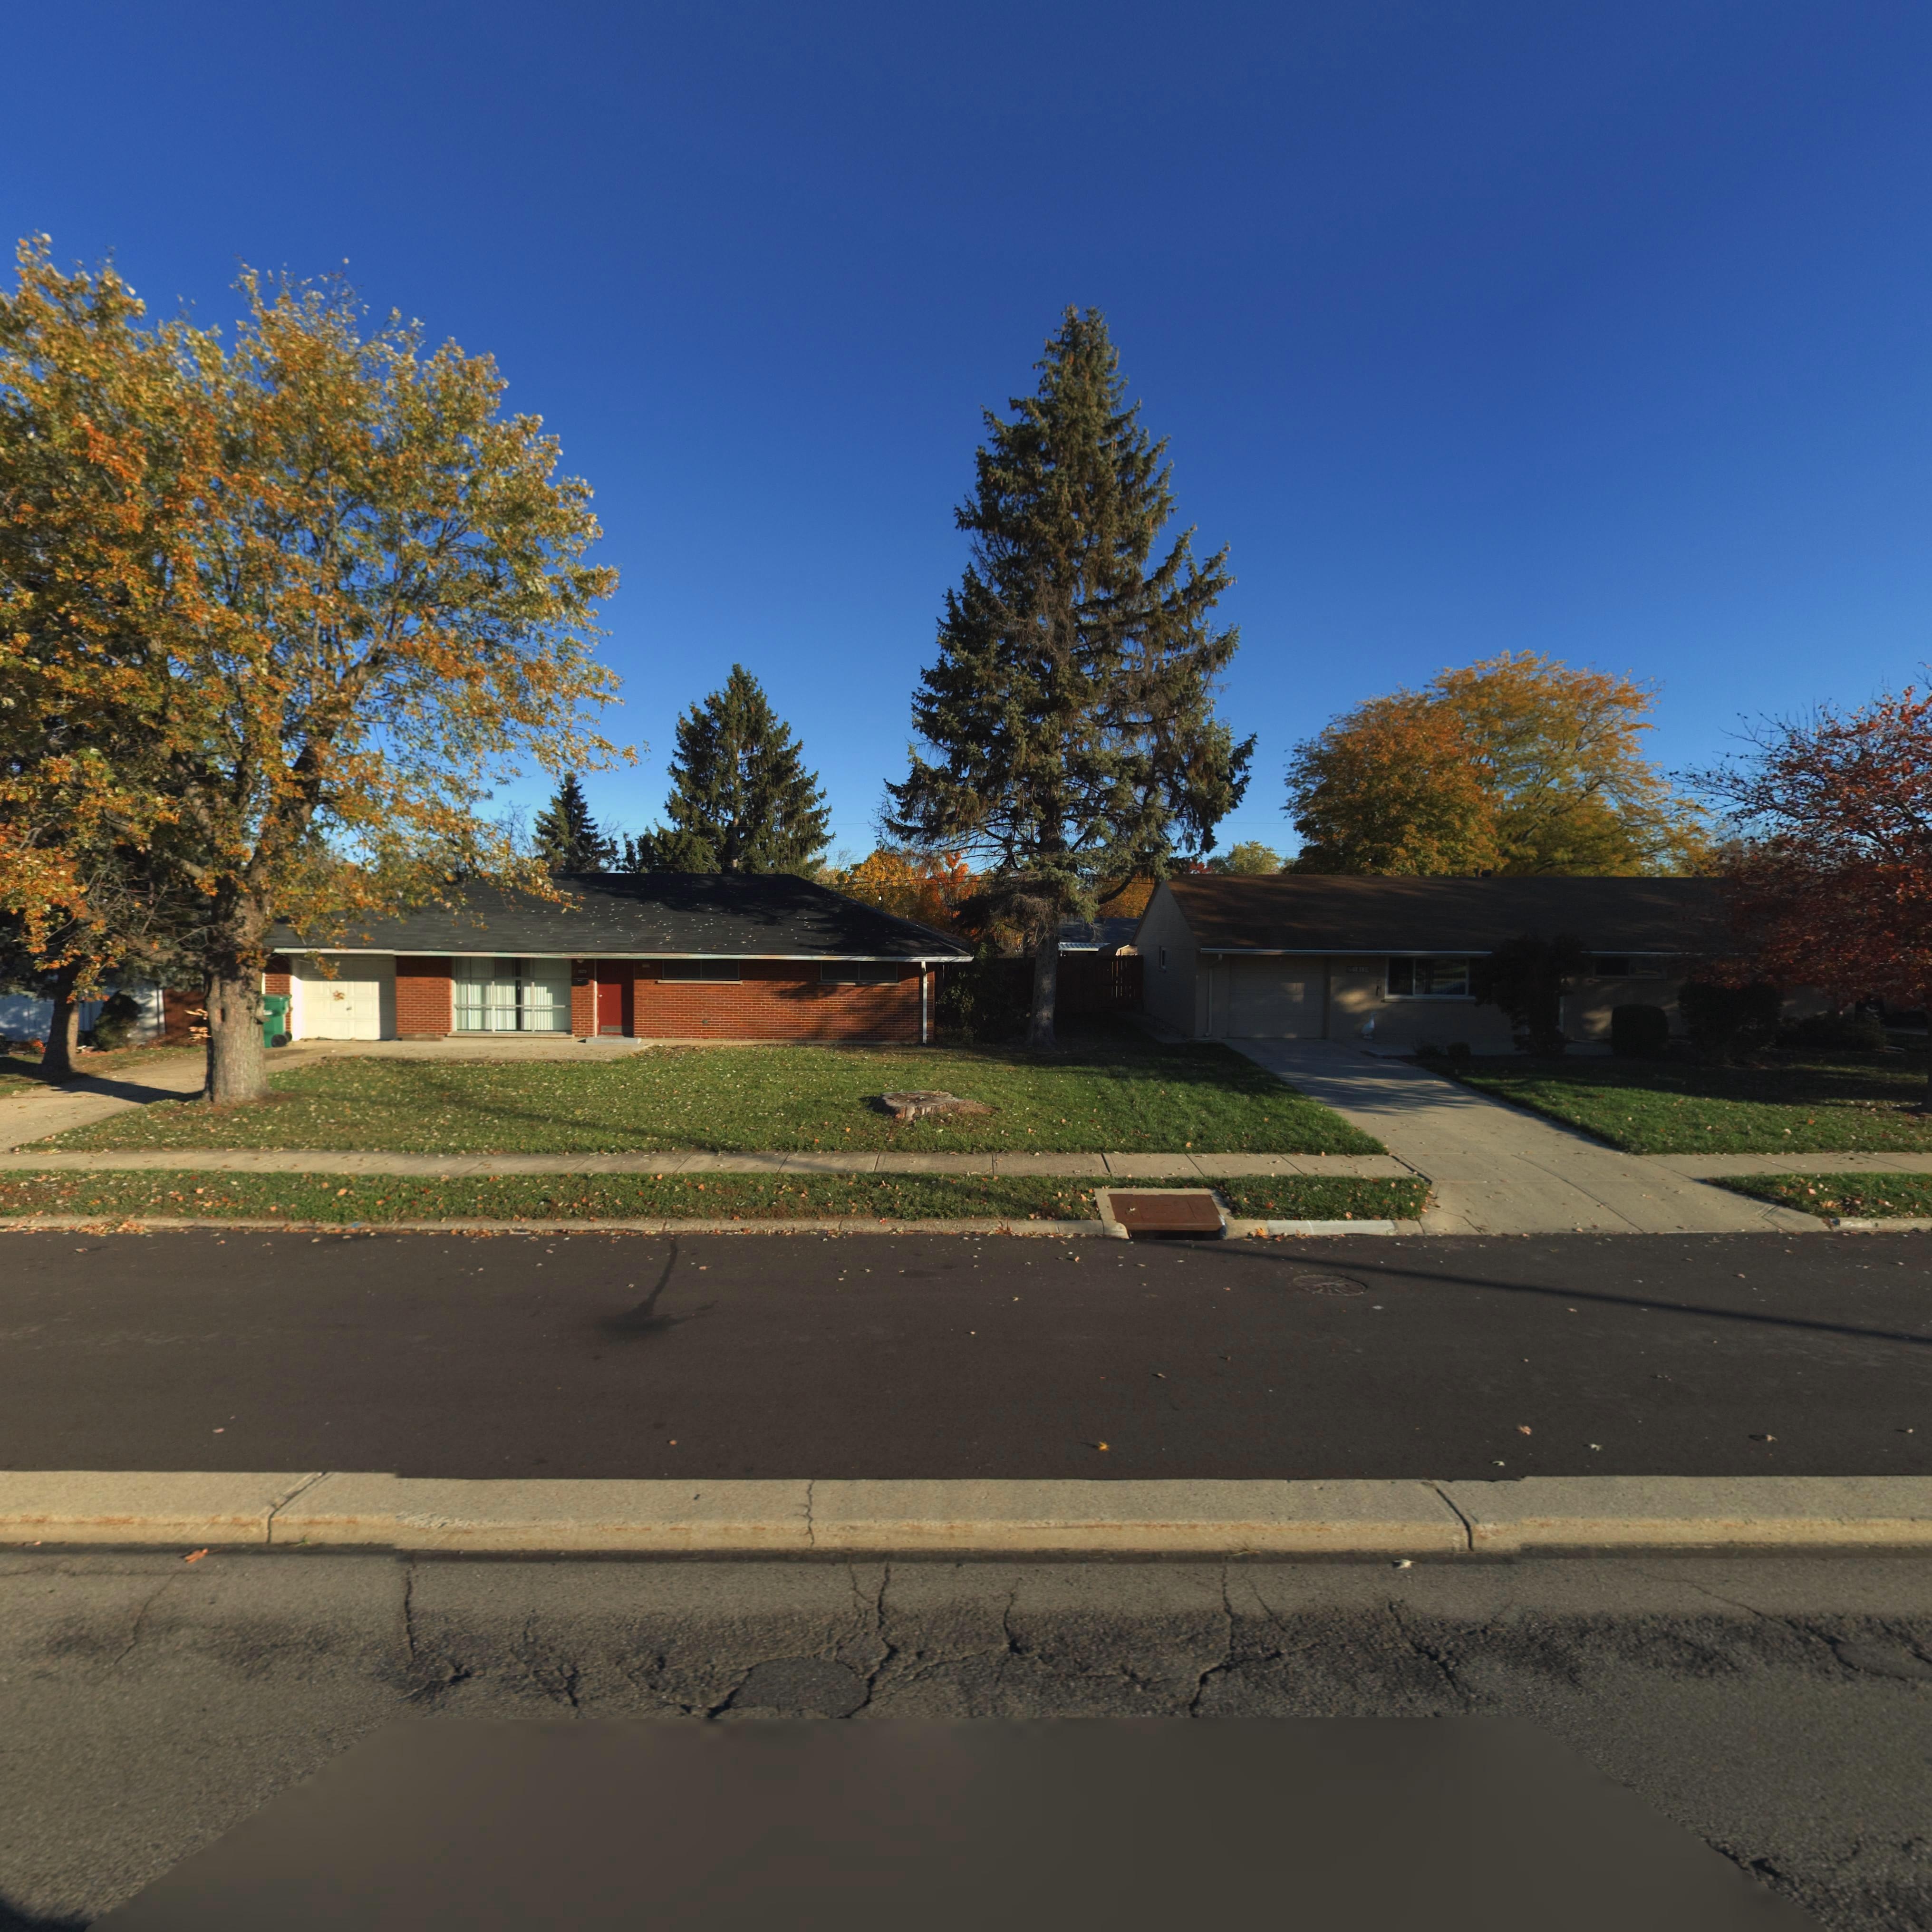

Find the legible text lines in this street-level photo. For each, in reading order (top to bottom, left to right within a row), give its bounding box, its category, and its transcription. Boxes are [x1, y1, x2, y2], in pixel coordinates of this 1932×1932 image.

[1353, 966, 1366, 973] StreetNumber: 1*13